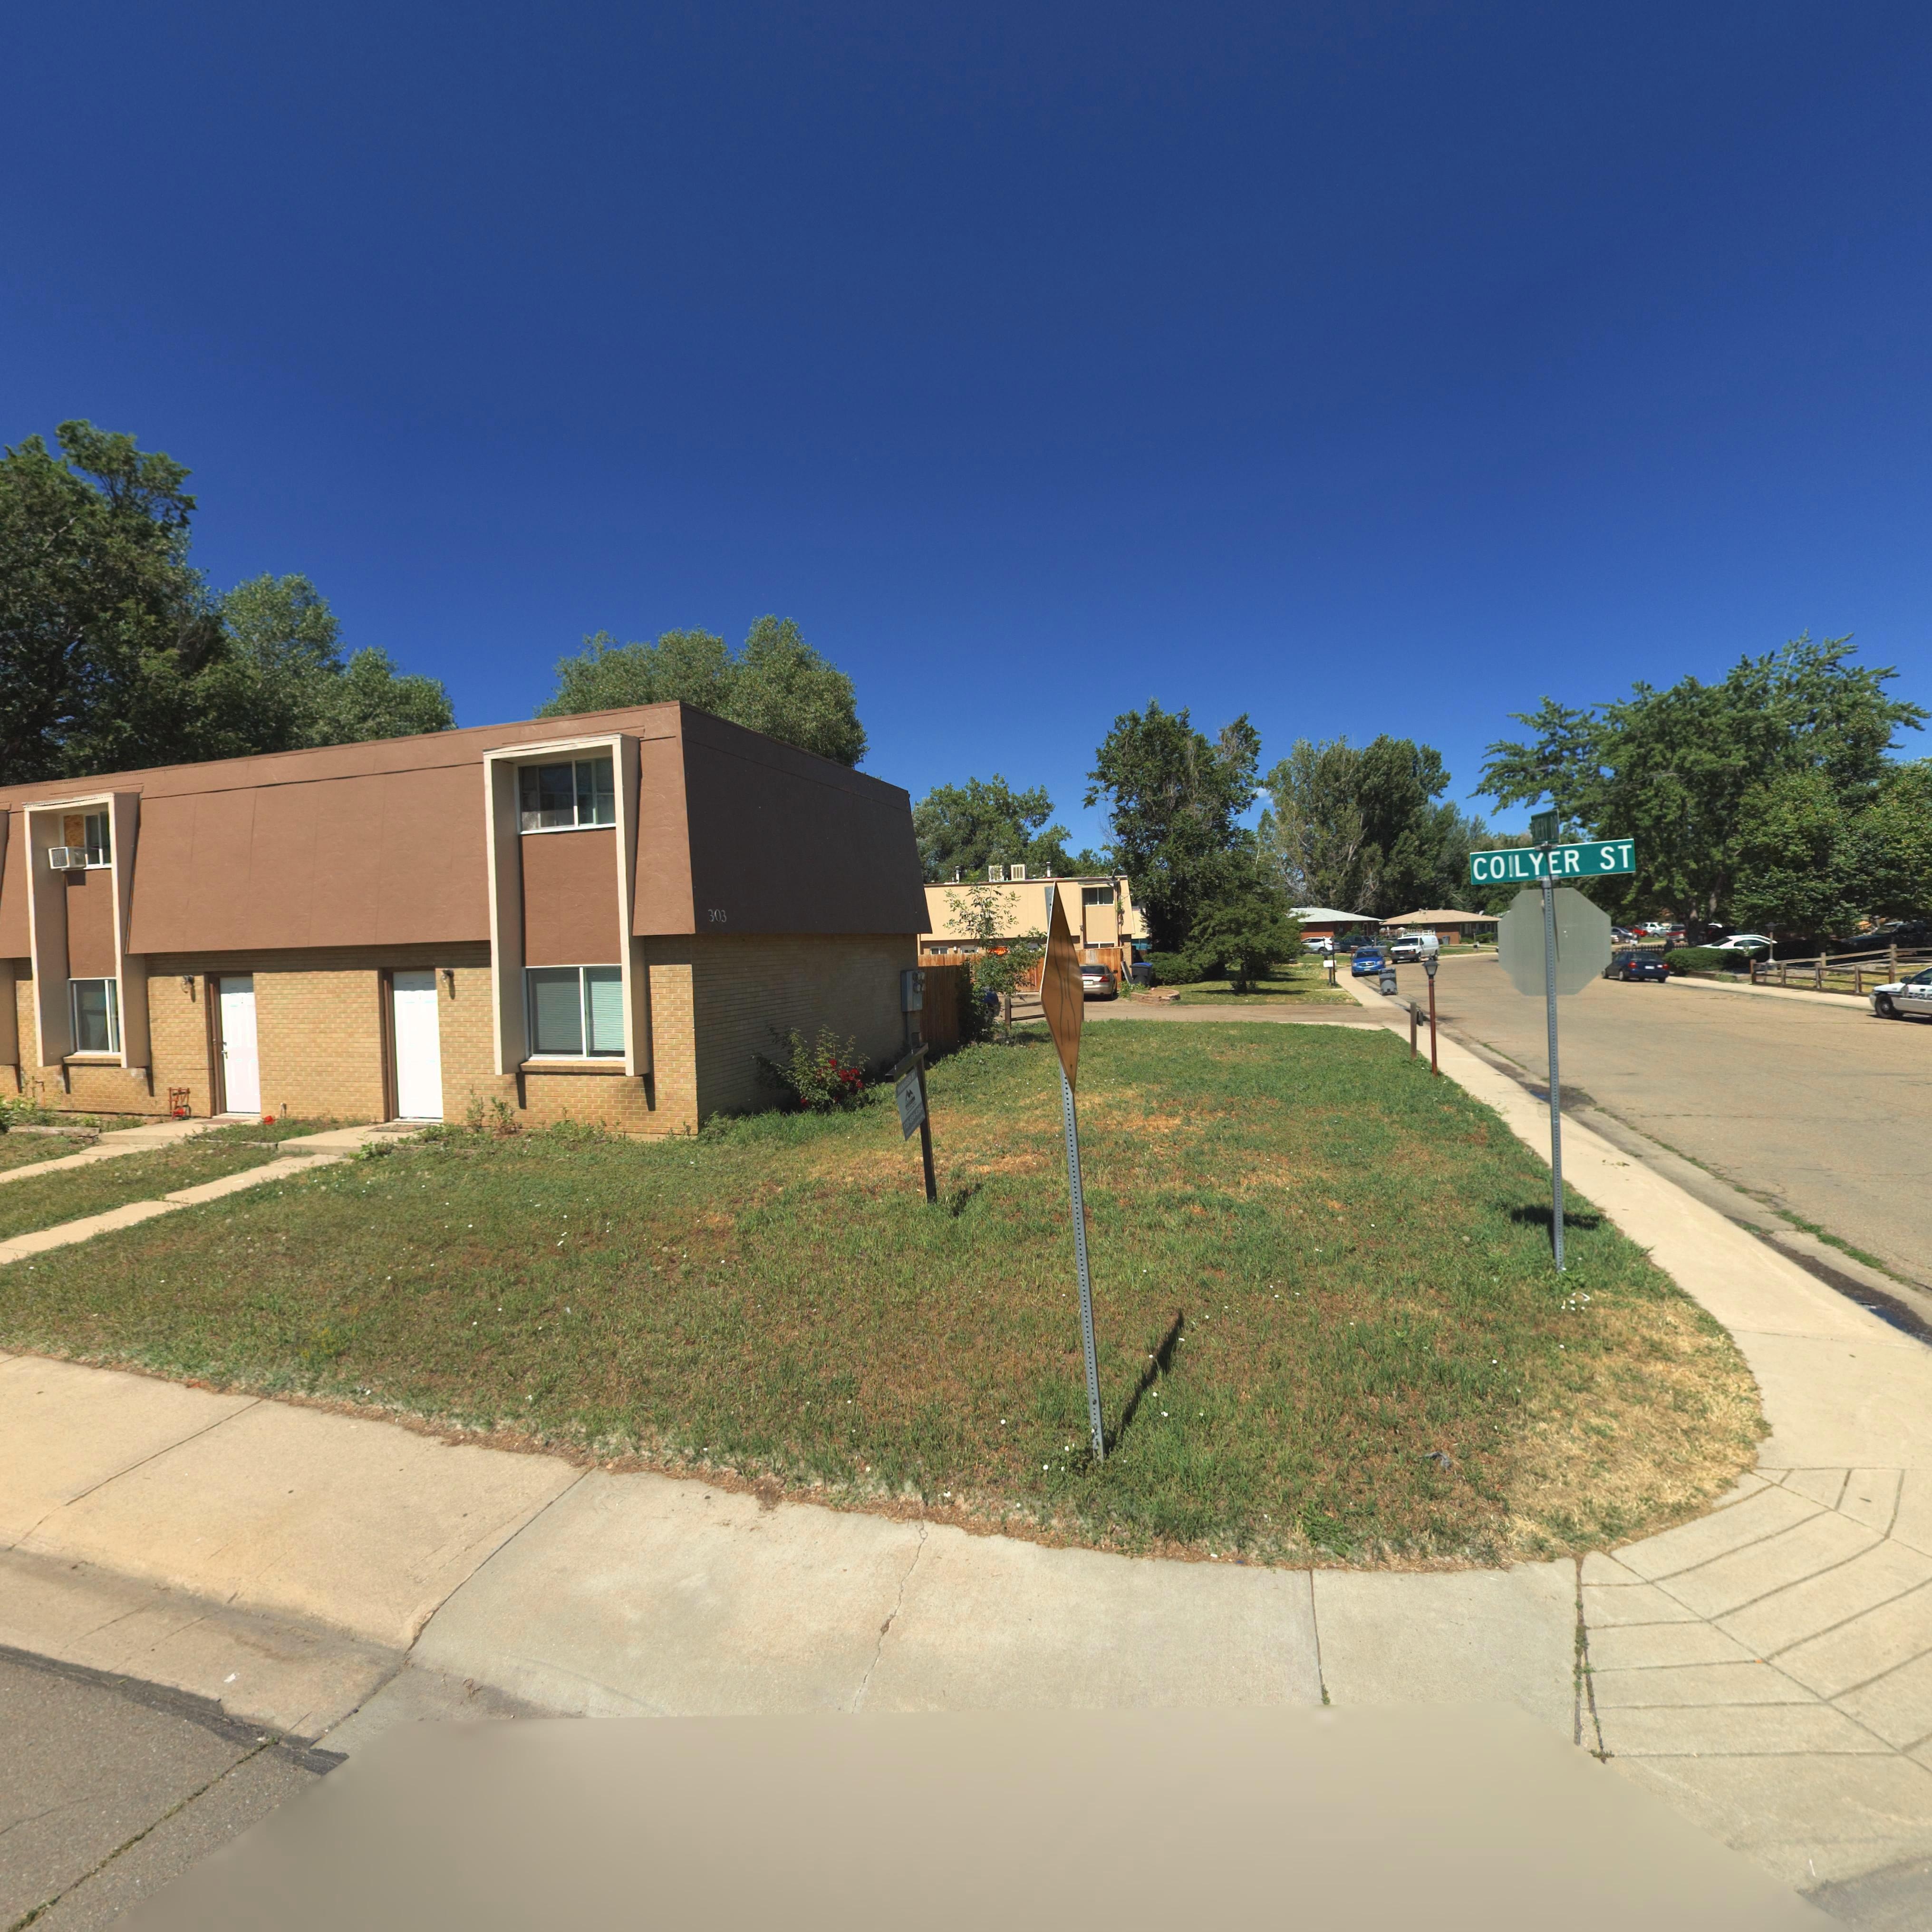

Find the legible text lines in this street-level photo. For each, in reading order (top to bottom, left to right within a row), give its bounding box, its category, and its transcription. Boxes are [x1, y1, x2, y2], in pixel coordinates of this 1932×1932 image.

[1531, 813, 1560, 842] StreetName: *VERY DR
[1473, 844, 1633, 879] StreetName: CO L YER ST
[708, 909, 727, 923] StreetNumber: 303